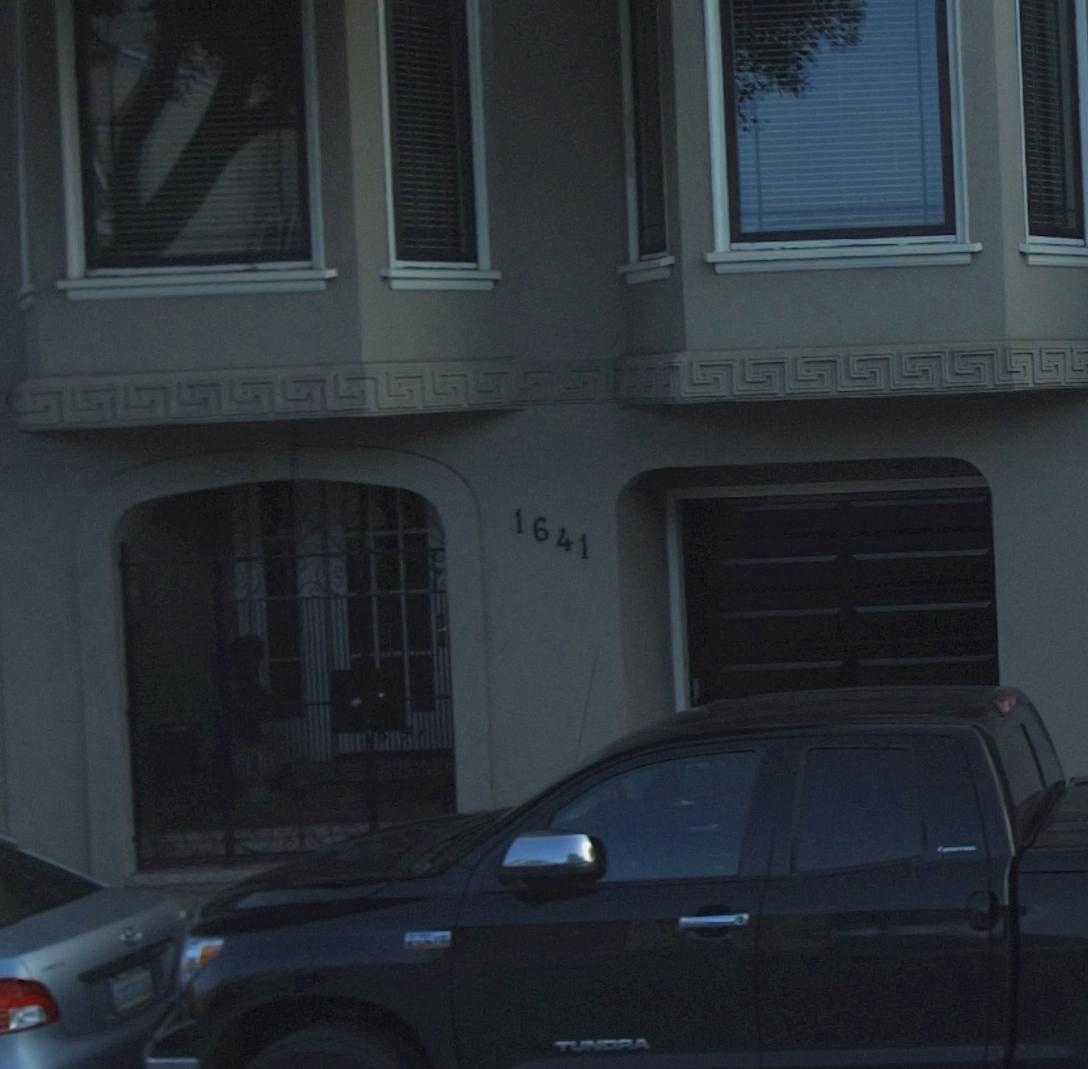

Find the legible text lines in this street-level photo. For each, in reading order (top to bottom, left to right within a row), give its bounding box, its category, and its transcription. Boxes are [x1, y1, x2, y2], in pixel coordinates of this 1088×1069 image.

[512, 504, 592, 564] StreetNumber: 1641
[551, 1035, 653, 1057] None: TUNDRA